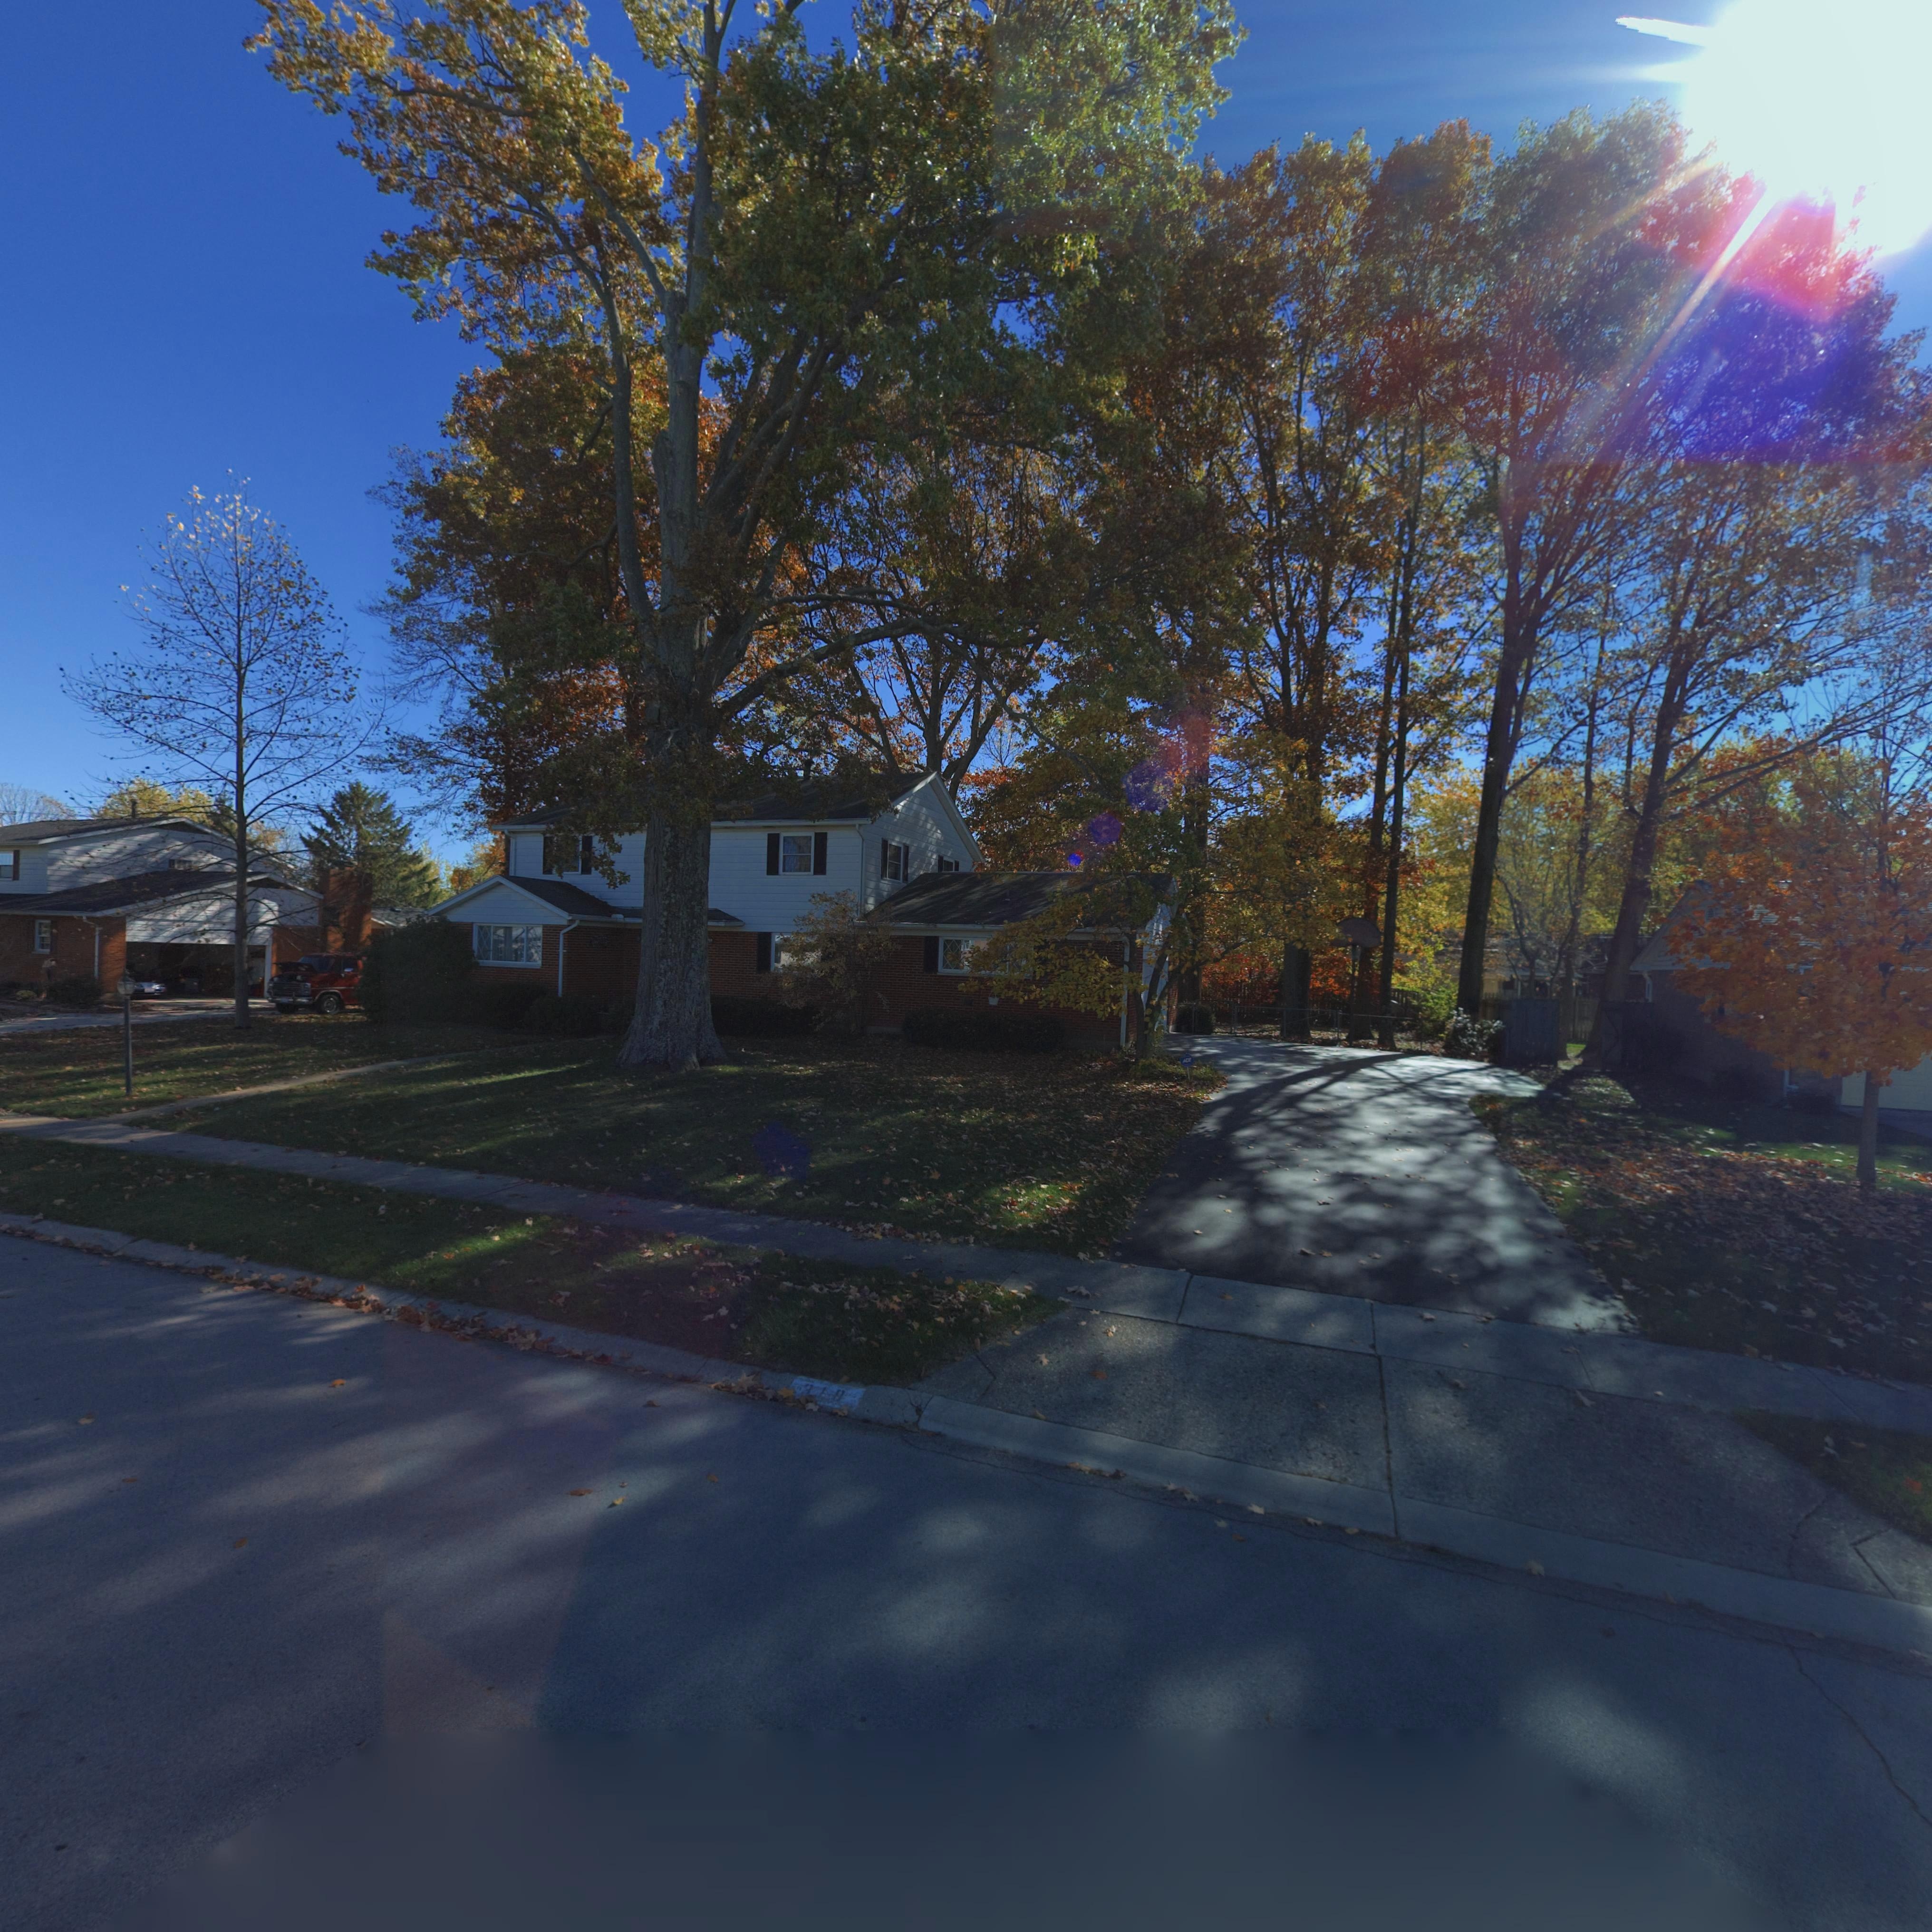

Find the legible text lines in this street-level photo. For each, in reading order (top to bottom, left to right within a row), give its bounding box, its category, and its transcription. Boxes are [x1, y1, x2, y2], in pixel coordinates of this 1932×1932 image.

[799, 1382, 847, 1404] StreetNumber: *1*